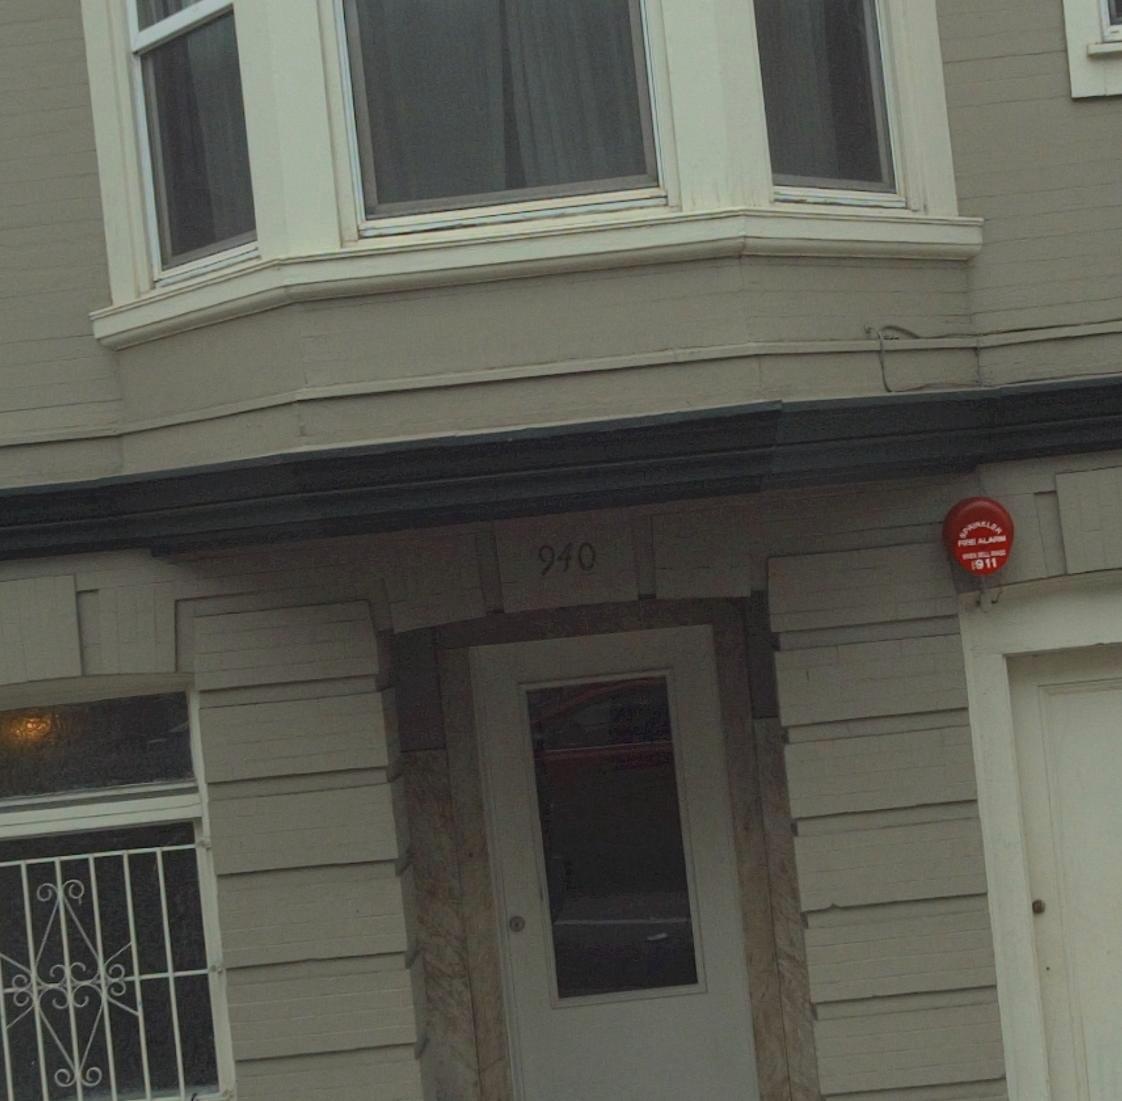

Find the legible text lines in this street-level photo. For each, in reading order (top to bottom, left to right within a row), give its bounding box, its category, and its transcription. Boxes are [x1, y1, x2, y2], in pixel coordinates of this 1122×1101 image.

[976, 533, 1009, 547] None: ALARM
[532, 537, 604, 585] StreetNumber: 940
[974, 554, 999, 572] None: 911